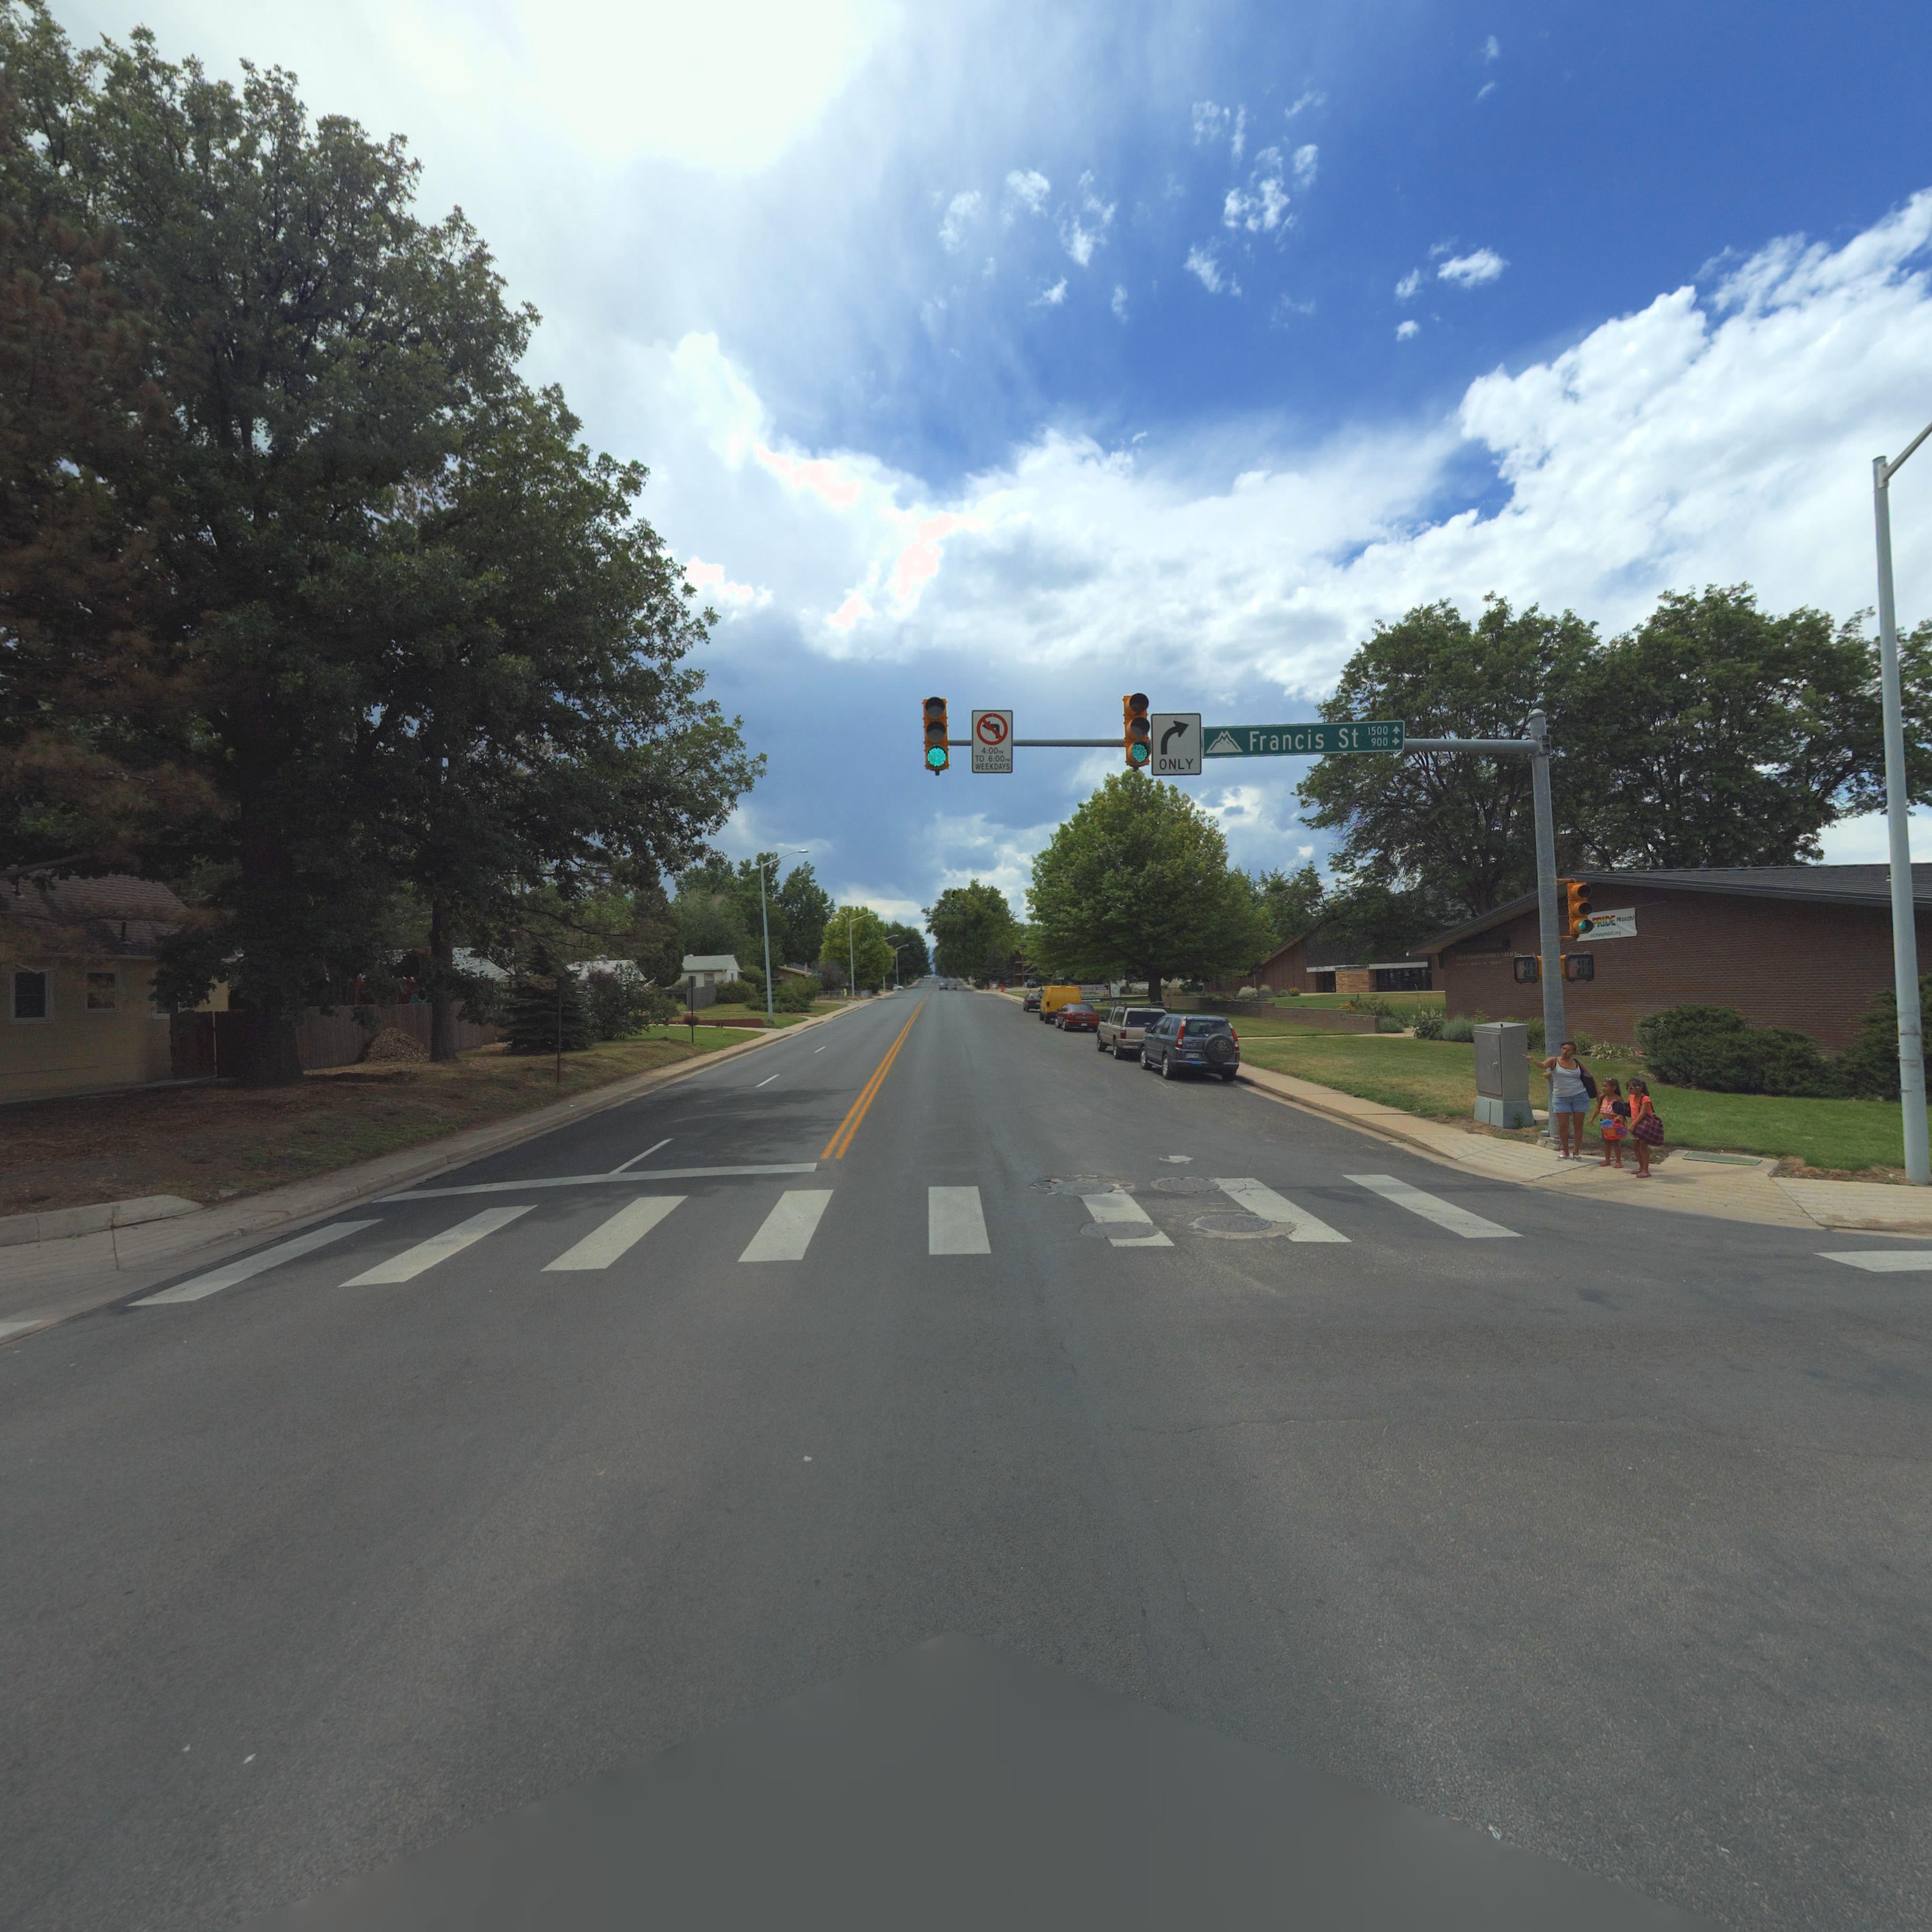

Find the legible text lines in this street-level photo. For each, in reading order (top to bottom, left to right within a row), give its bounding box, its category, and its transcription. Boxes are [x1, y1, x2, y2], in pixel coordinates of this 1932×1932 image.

[1367, 725, 1388, 735] StreetNumberRange: 1500
[1249, 727, 1359, 752] StreetName: Francis St
[1371, 736, 1400, 746] StreetNumberRange: 900->
[1456, 950, 1518, 960] BusinessName: ***** ******TIONAL CHURCH
[1468, 959, 1501, 966] BusinessName: CH**CH O* CH**ST